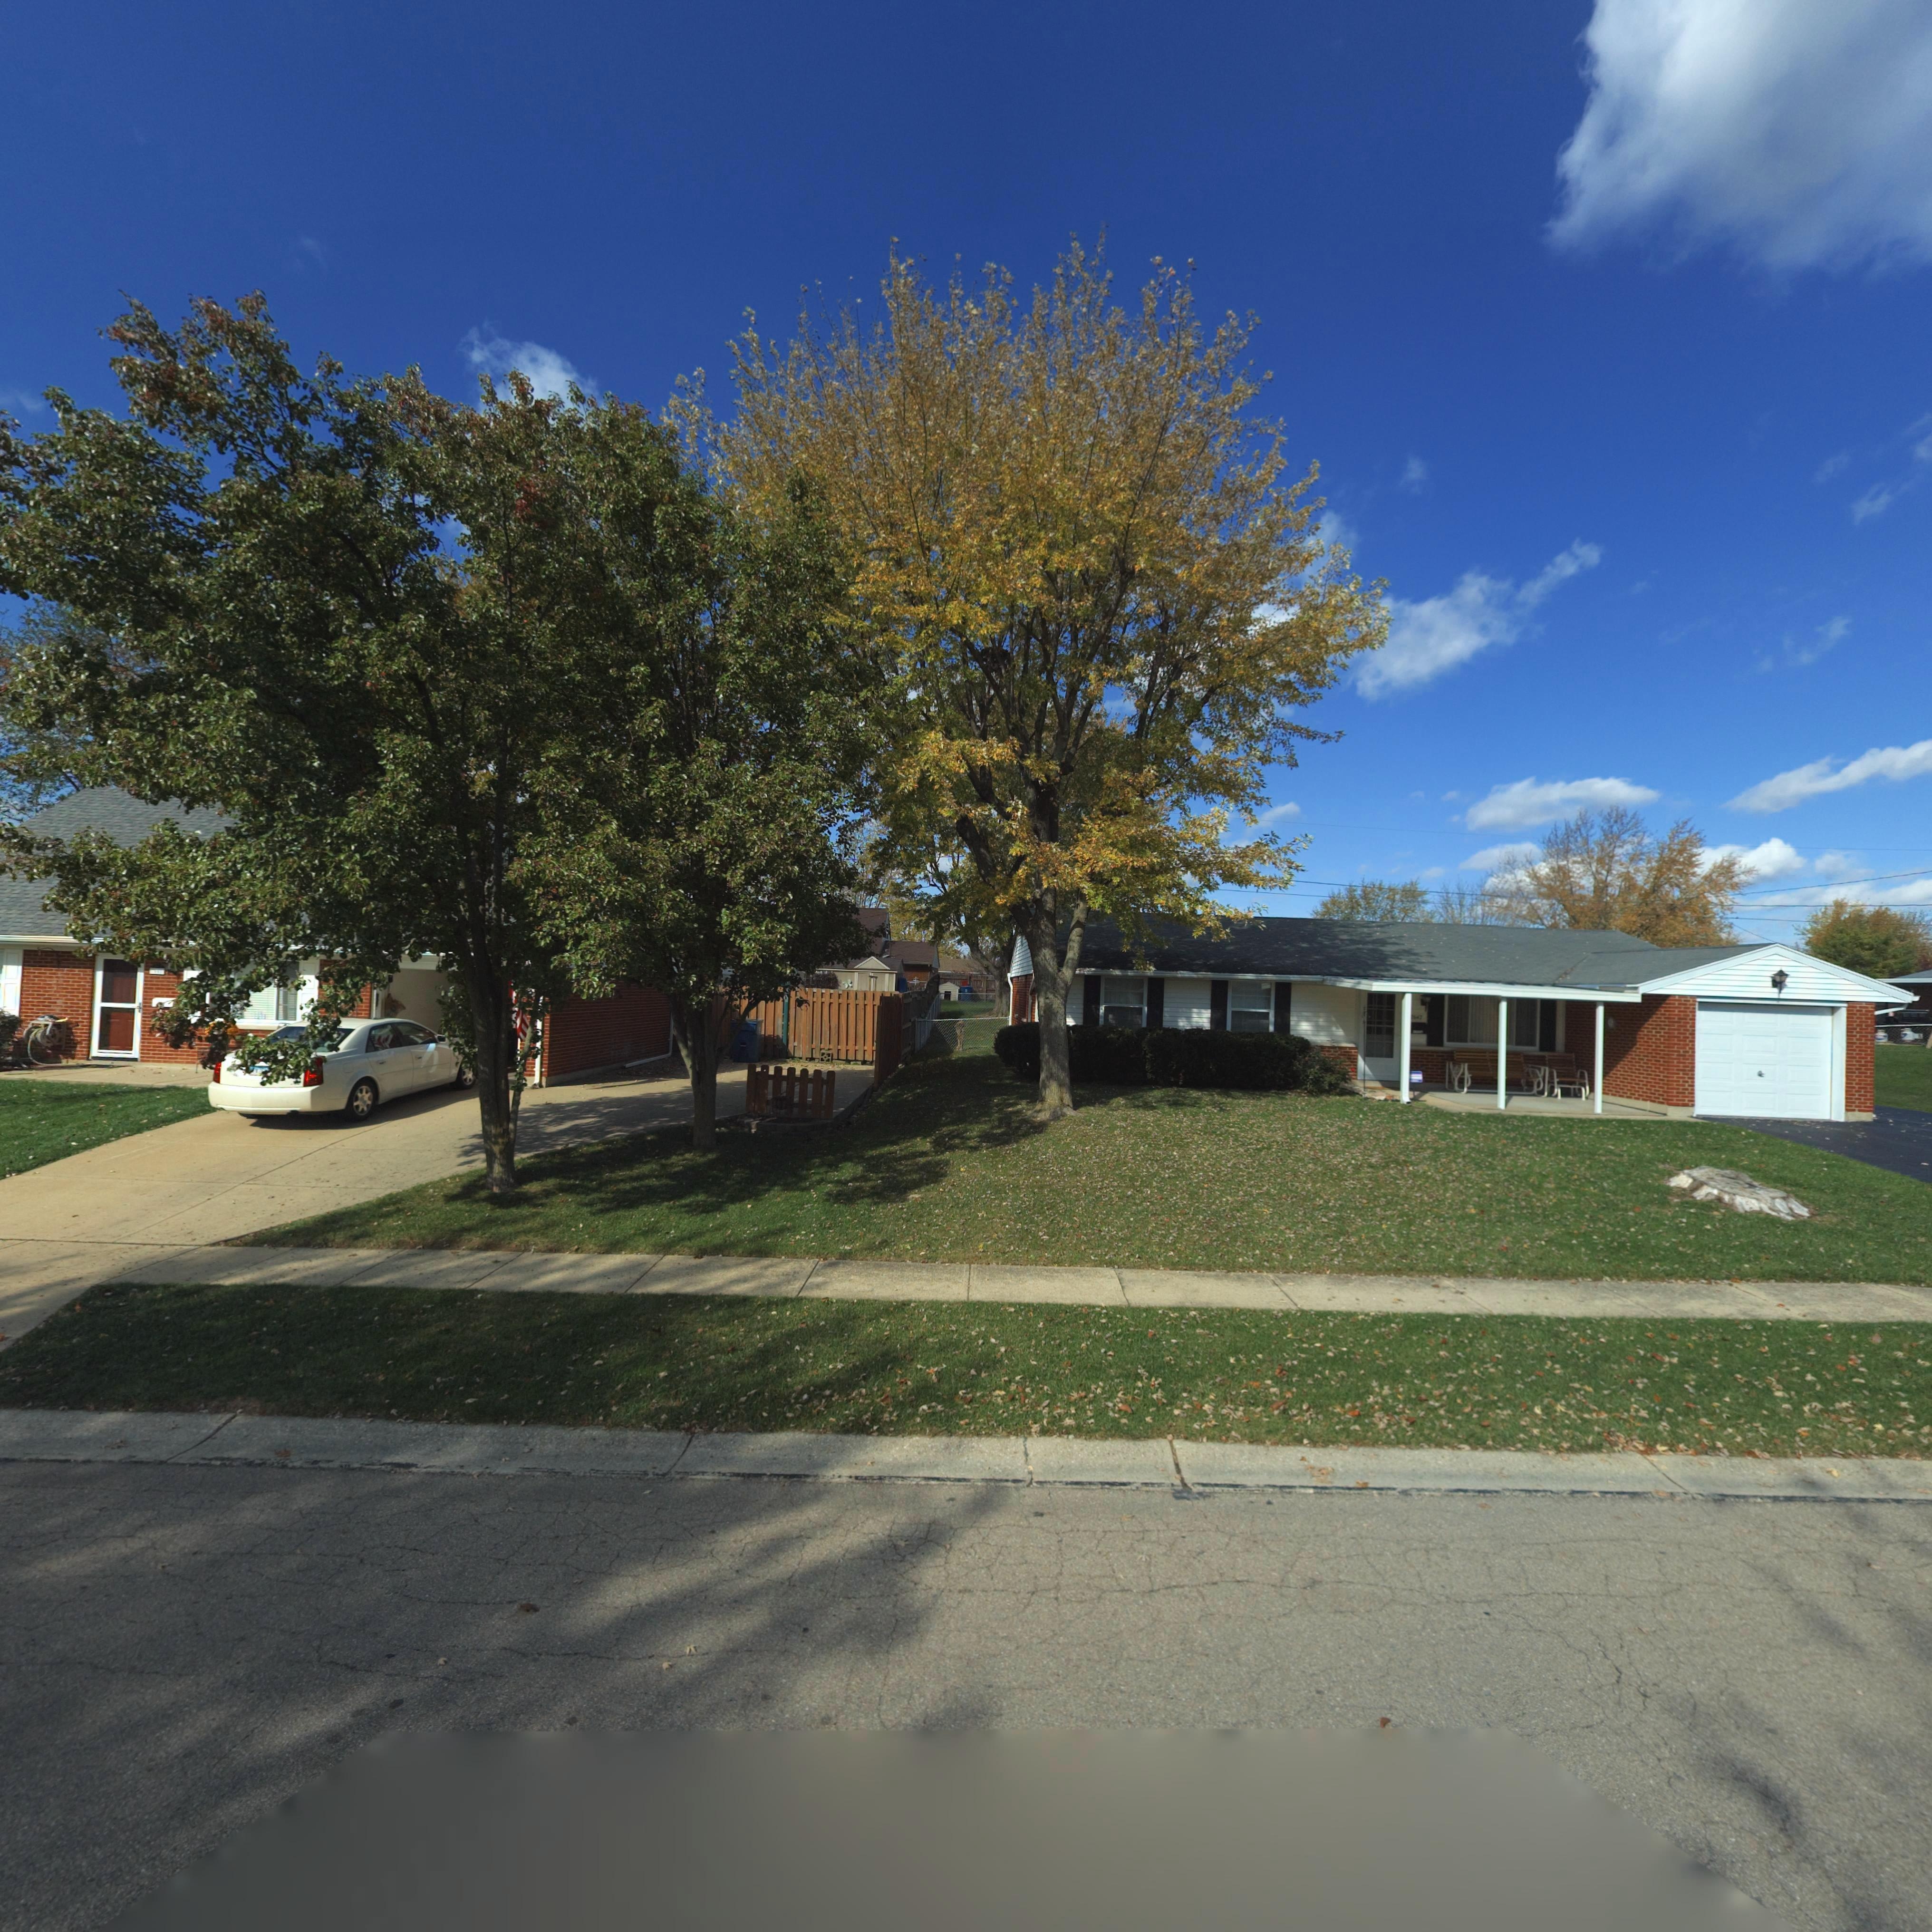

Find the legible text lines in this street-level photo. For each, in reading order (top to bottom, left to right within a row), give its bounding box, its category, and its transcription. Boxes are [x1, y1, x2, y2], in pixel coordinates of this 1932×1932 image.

[150, 967, 164, 974] StreetNumber: **4*
[1410, 1014, 1422, 1020] StreetNumber: *647